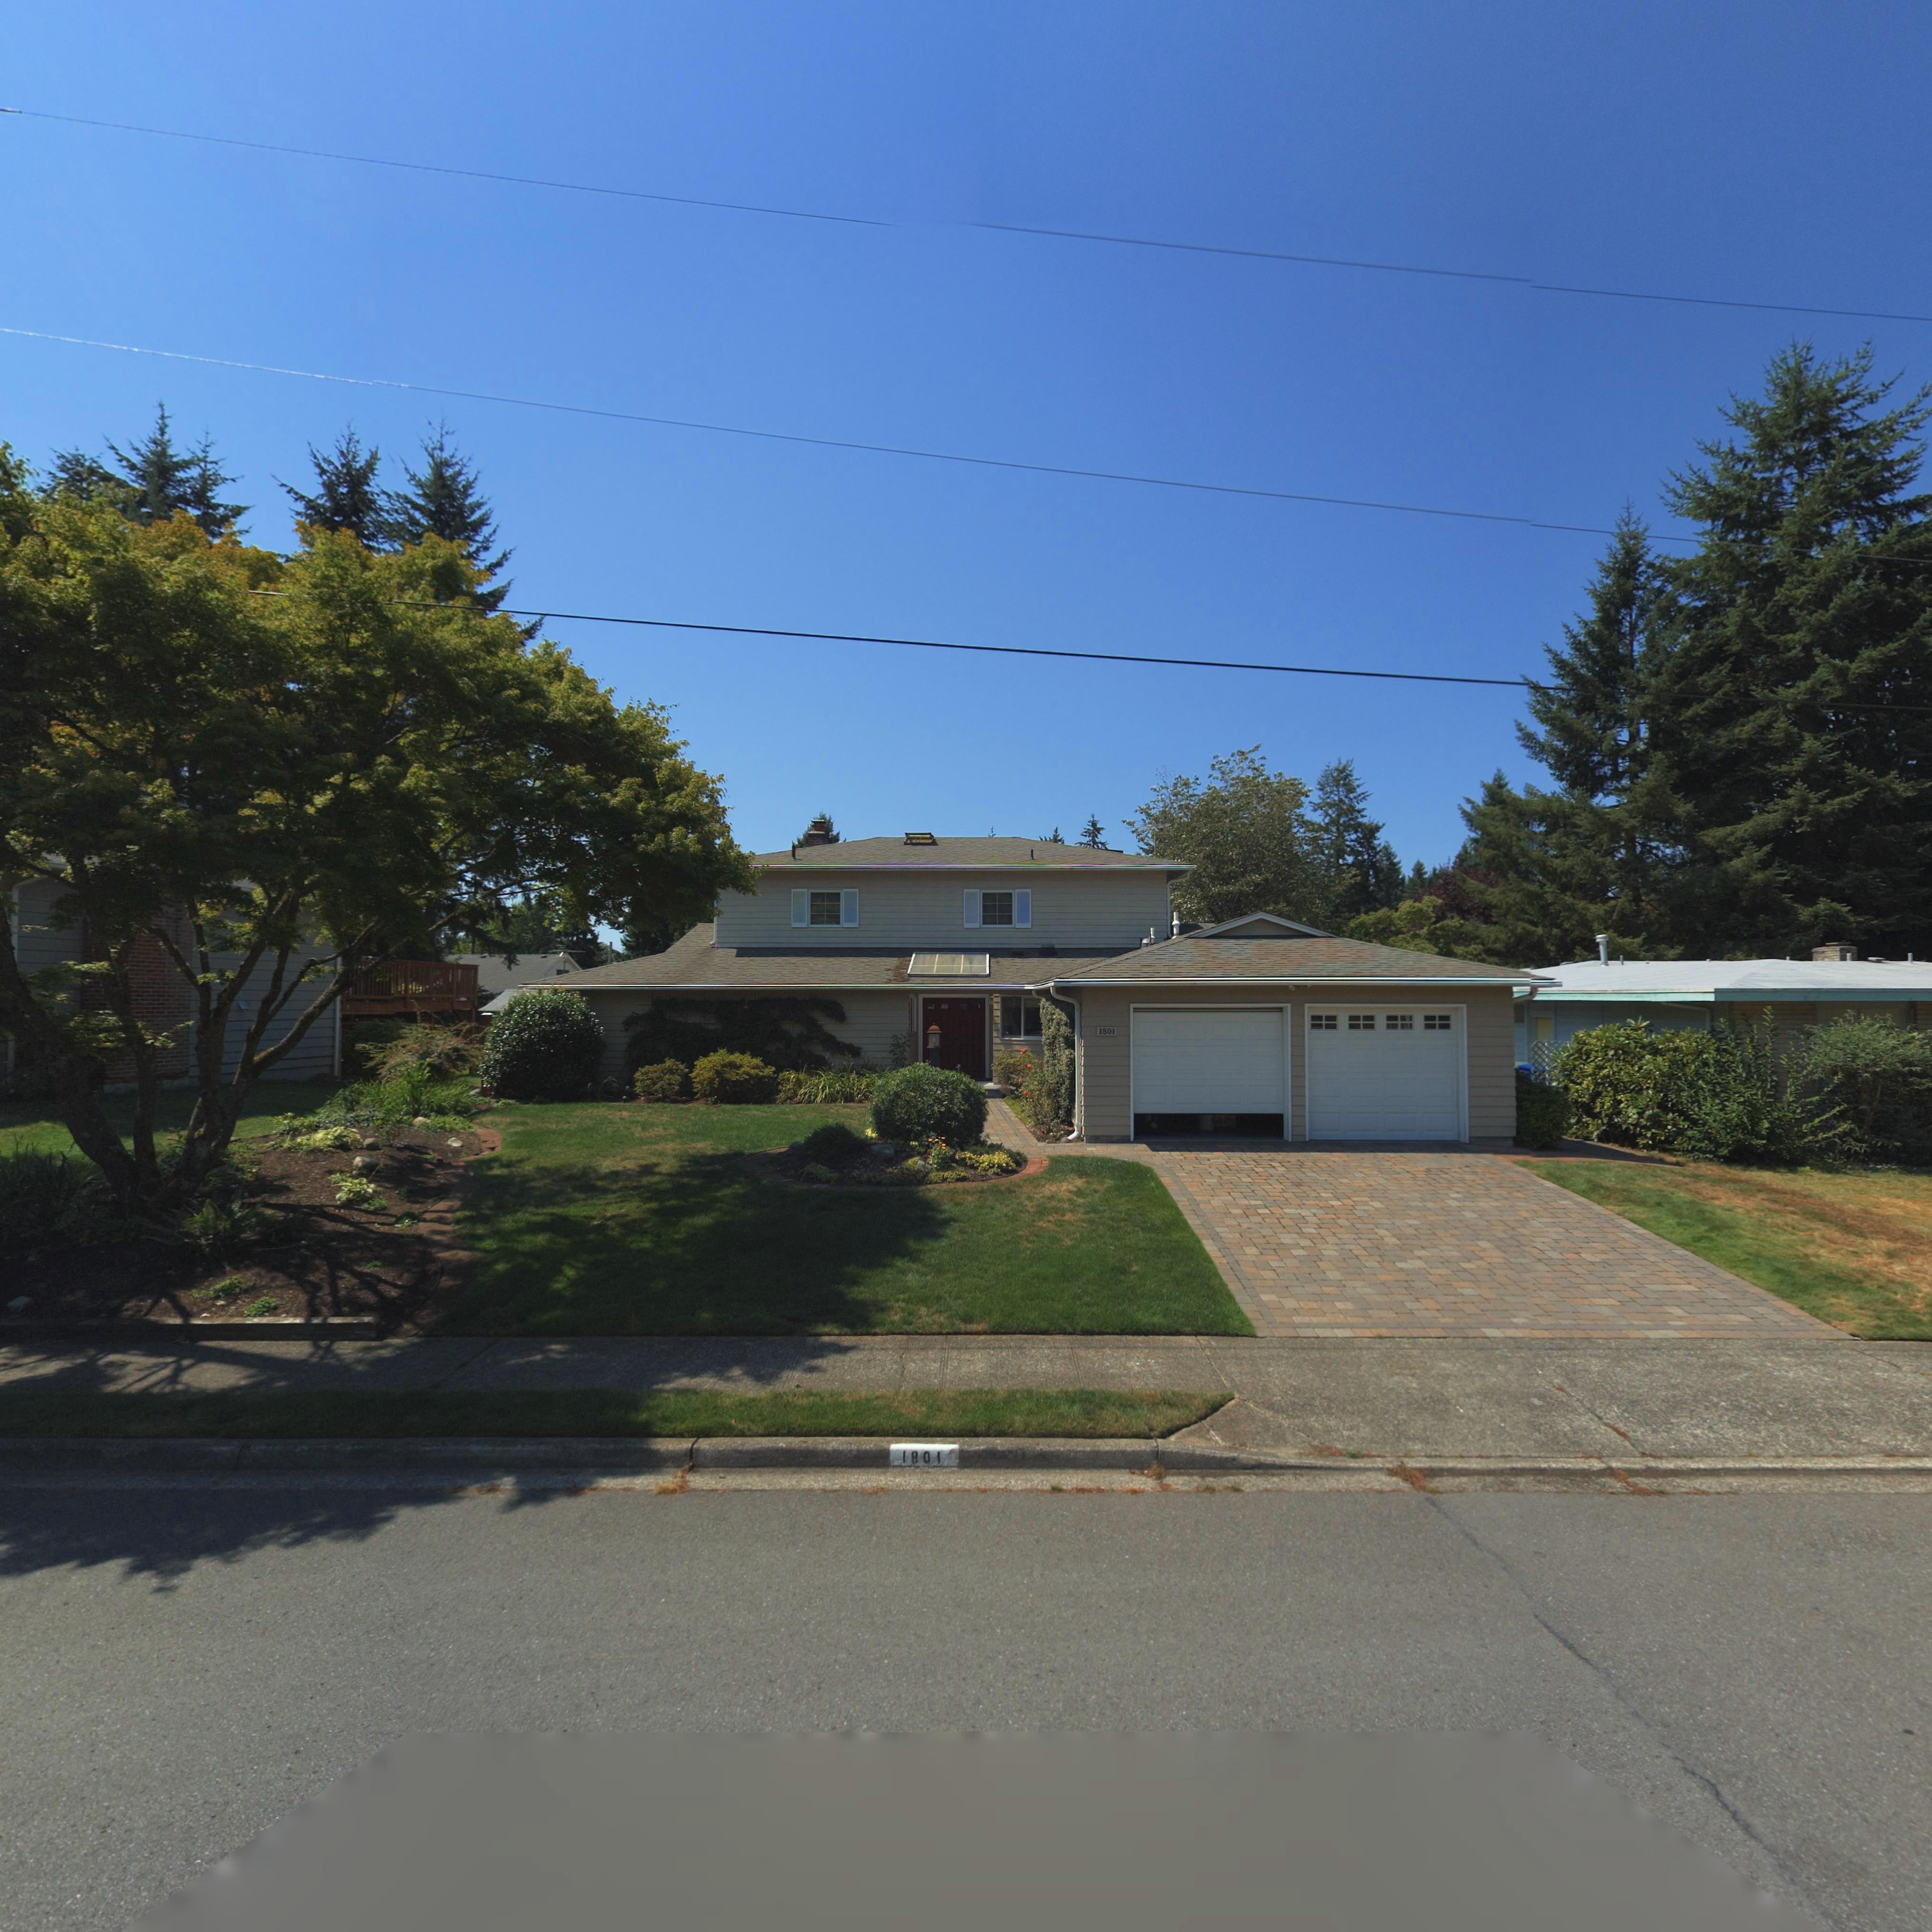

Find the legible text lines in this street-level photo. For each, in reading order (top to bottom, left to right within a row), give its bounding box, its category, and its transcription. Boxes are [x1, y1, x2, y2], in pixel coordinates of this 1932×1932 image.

[1097, 1027, 1116, 1035] StreetNumber: 1801
[897, 1445, 946, 1468] StreetNumber: 1801